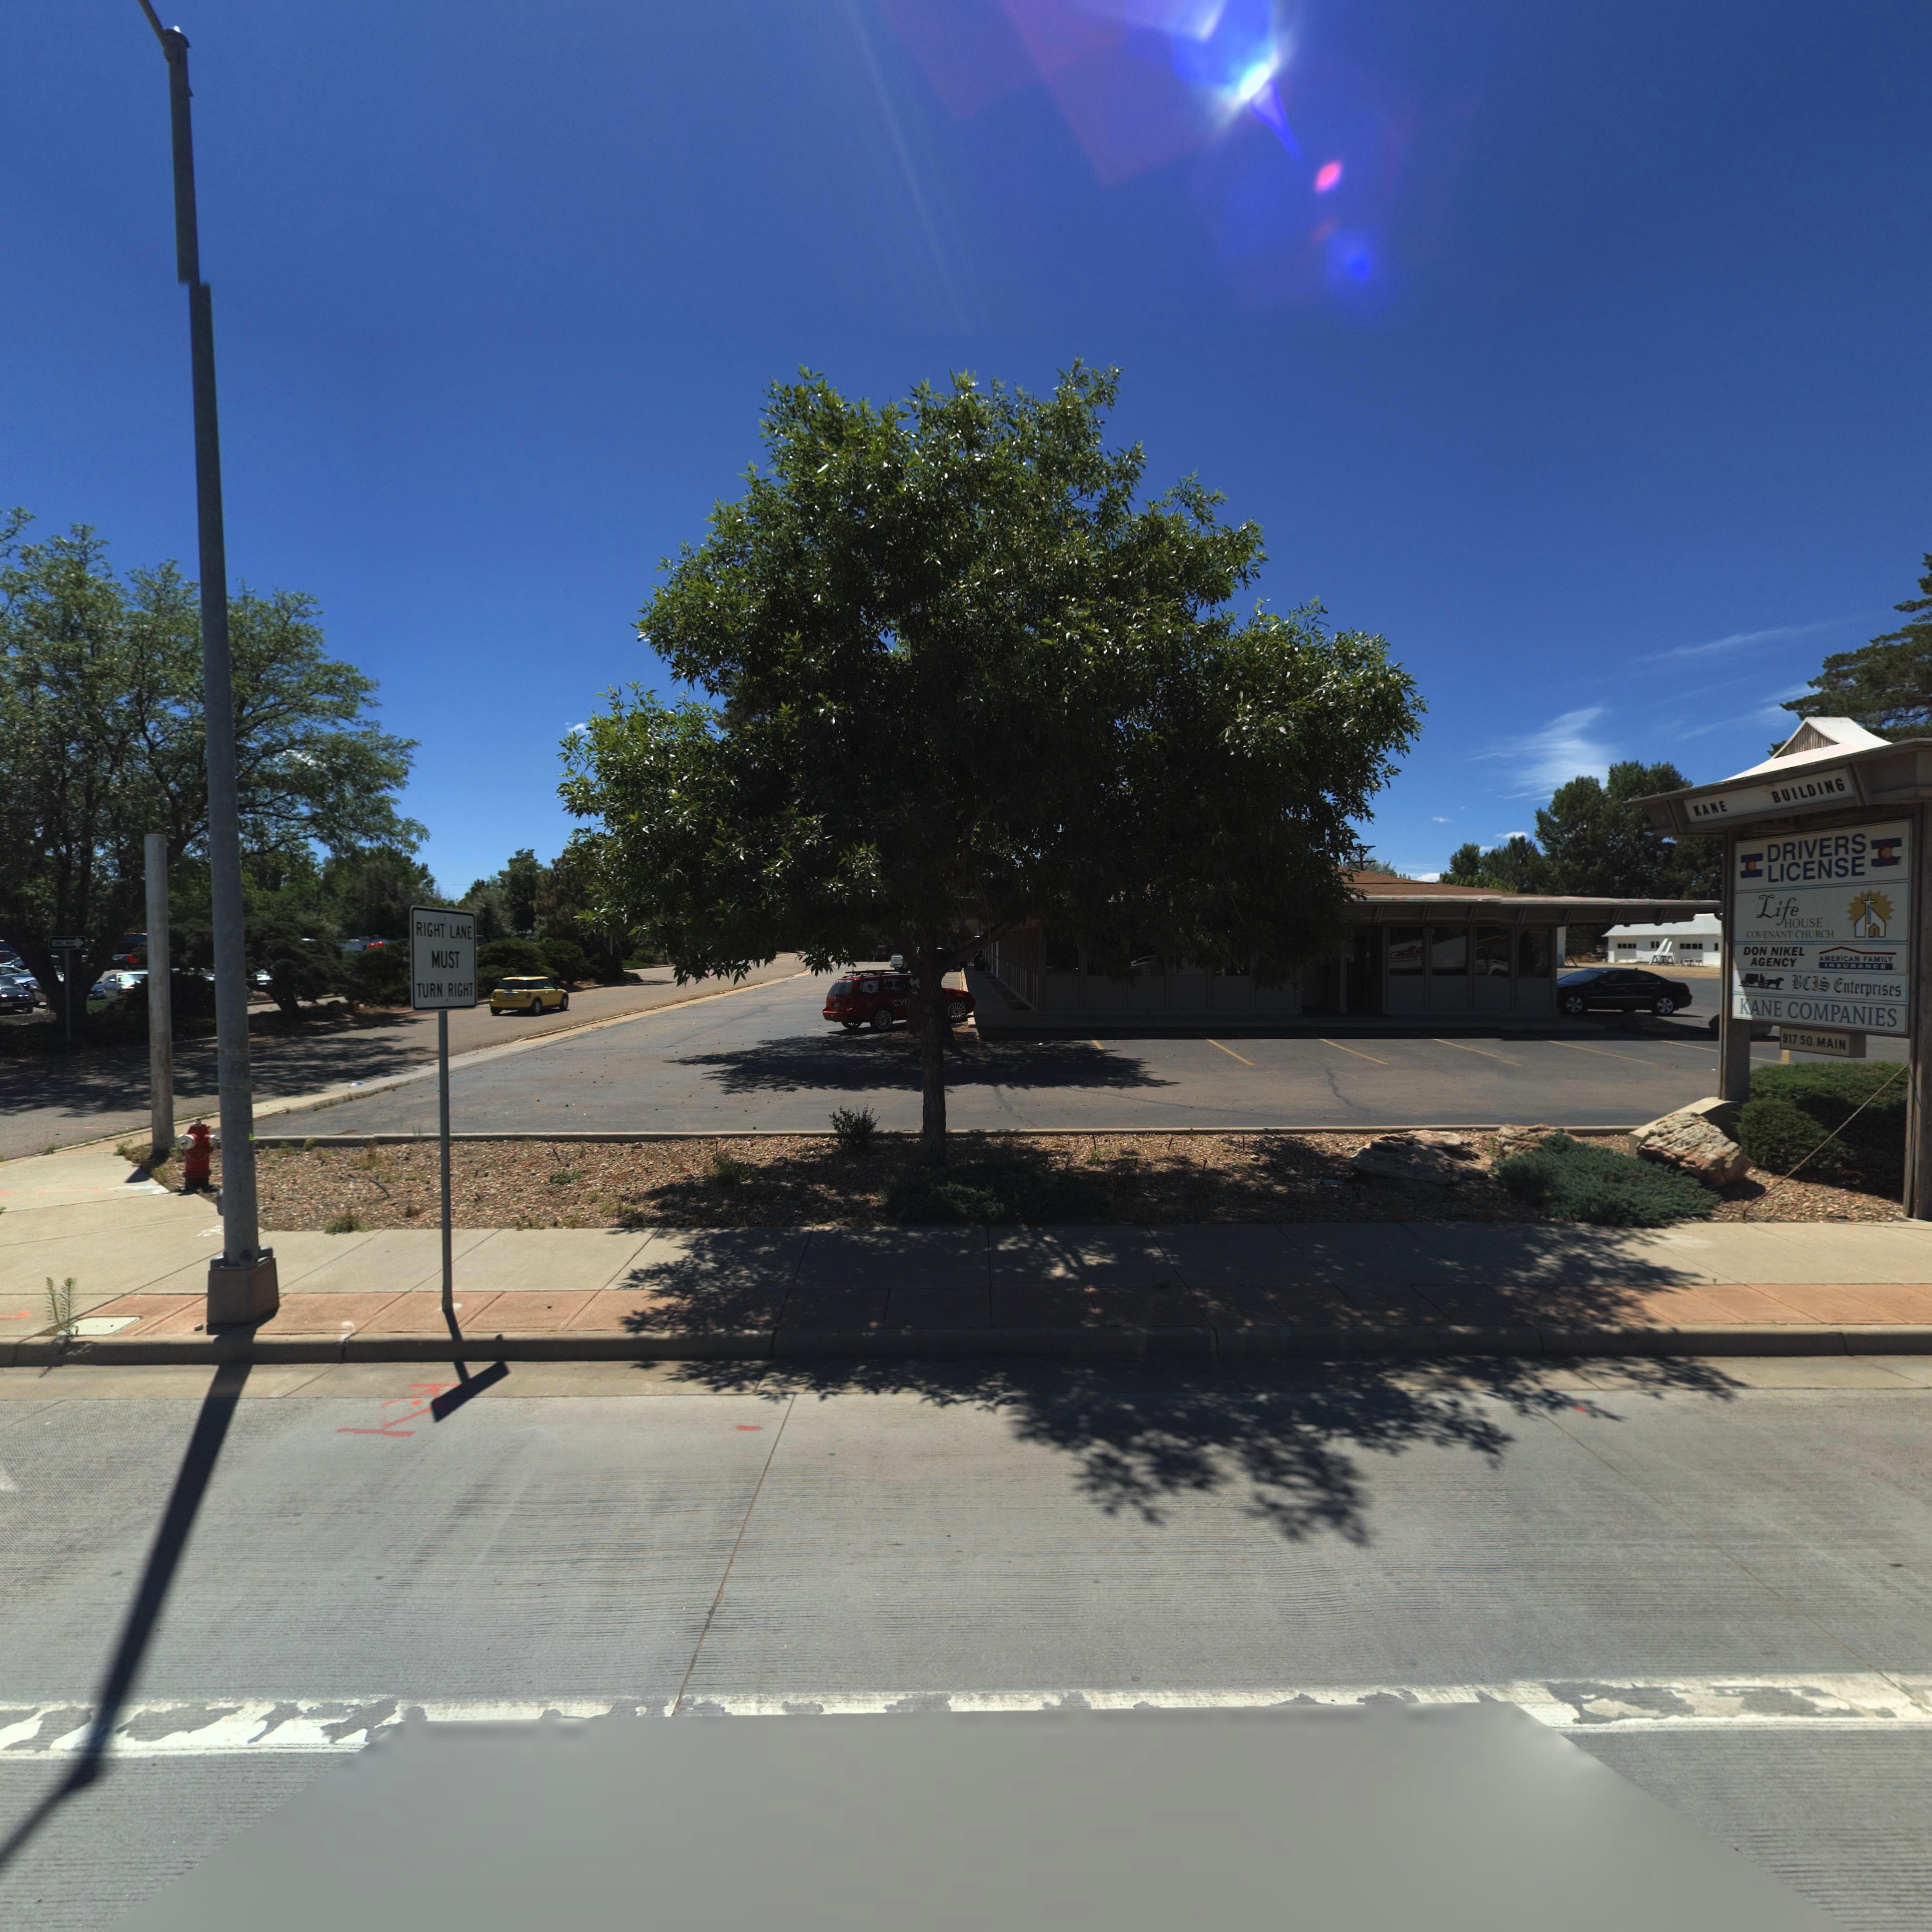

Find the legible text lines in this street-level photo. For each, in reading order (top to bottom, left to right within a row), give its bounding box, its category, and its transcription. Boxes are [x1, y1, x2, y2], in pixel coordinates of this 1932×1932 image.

[1757, 894, 1799, 918] BusinessName: Life
[1784, 917, 1823, 928] BusinessName: HOUSE
[1745, 929, 1835, 939] BusinessName: COVENANT CHURCH
[1818, 955, 1894, 962] BusinessName: AMERICAN FAMILY
[1825, 963, 1886, 969] BusinessName: INSURANCE
[1793, 974, 1902, 999] BusinessName: BCIS Enterprises
[1782, 1032, 1798, 1045] StreetName: 917
[1799, 1034, 1846, 1050] StreetName: SO. MAIN